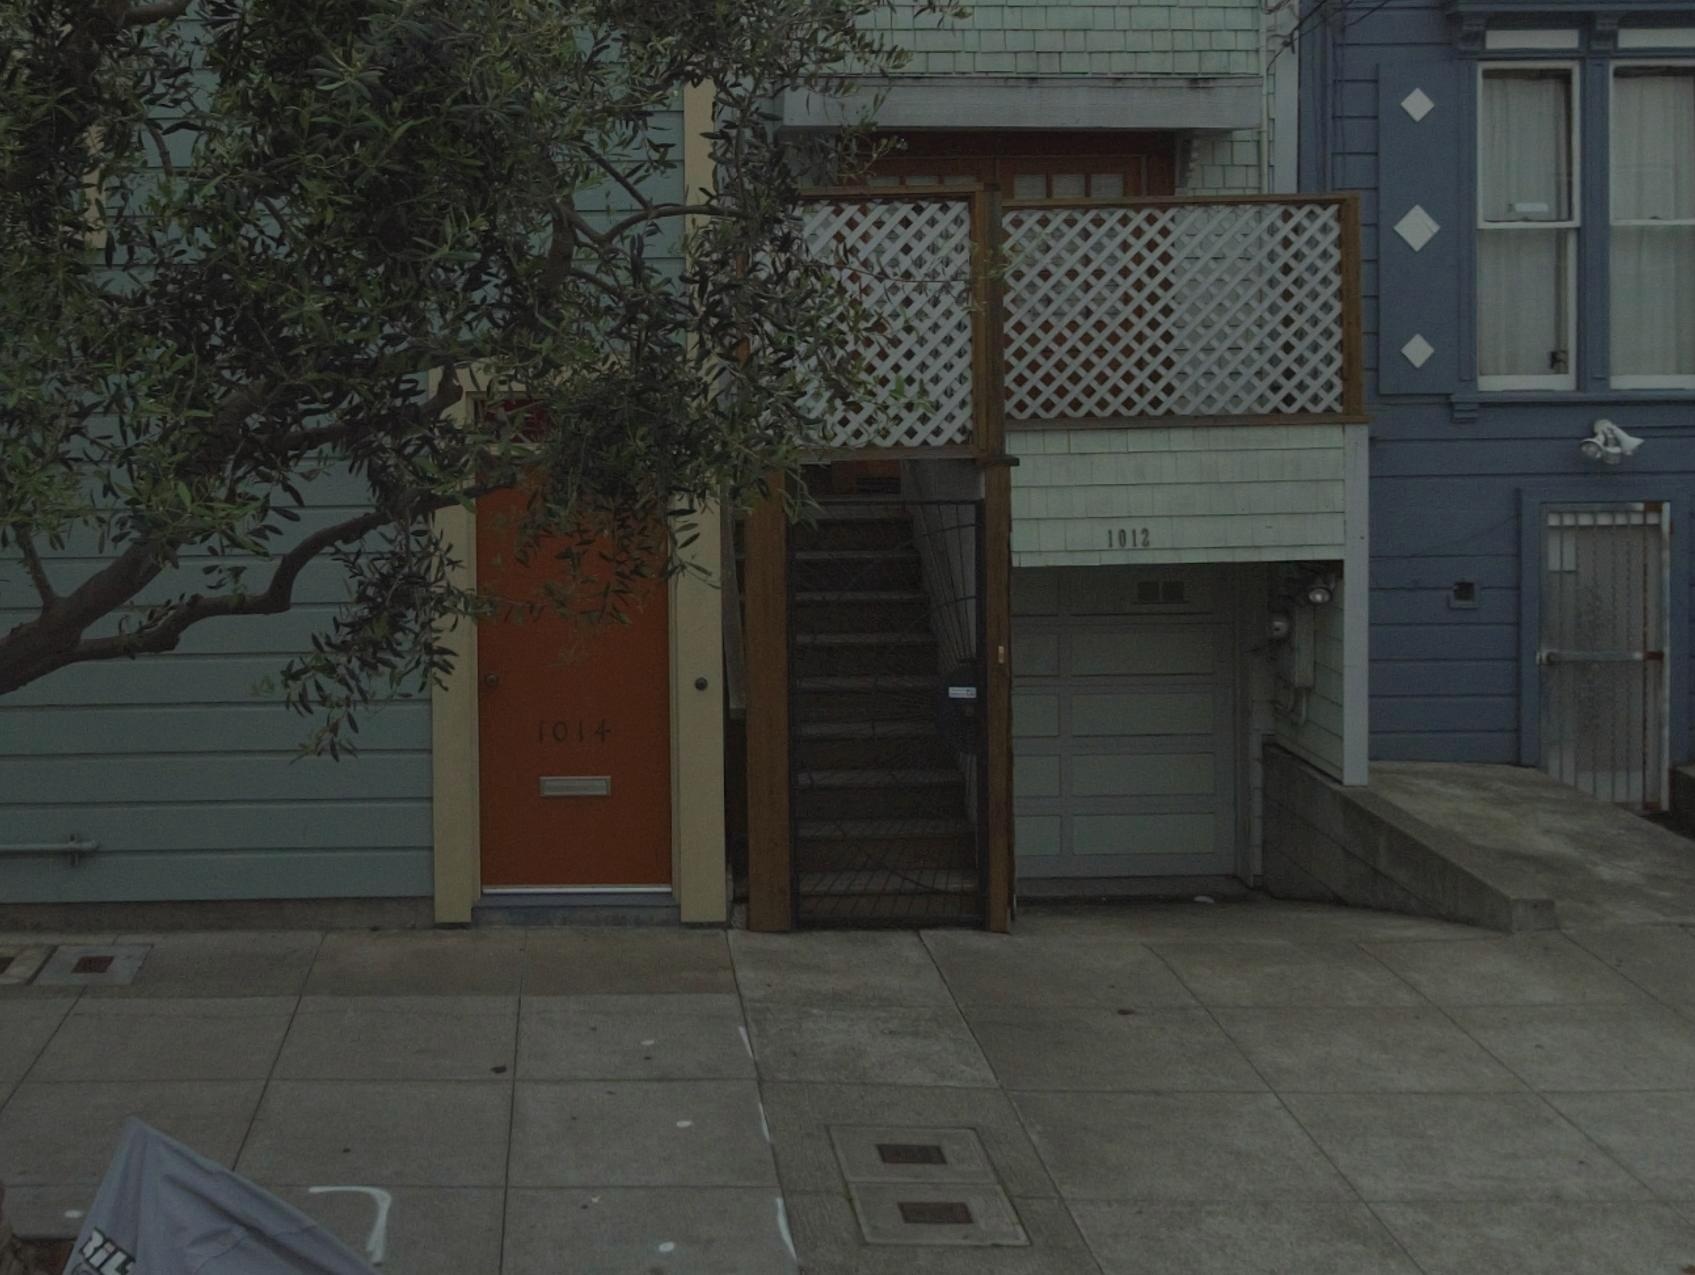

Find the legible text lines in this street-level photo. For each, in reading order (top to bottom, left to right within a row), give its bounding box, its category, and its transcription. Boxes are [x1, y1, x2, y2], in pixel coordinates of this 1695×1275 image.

[1104, 525, 1152, 550] StreetNumber: 1012
[533, 716, 614, 745] StreetNumber: 1014